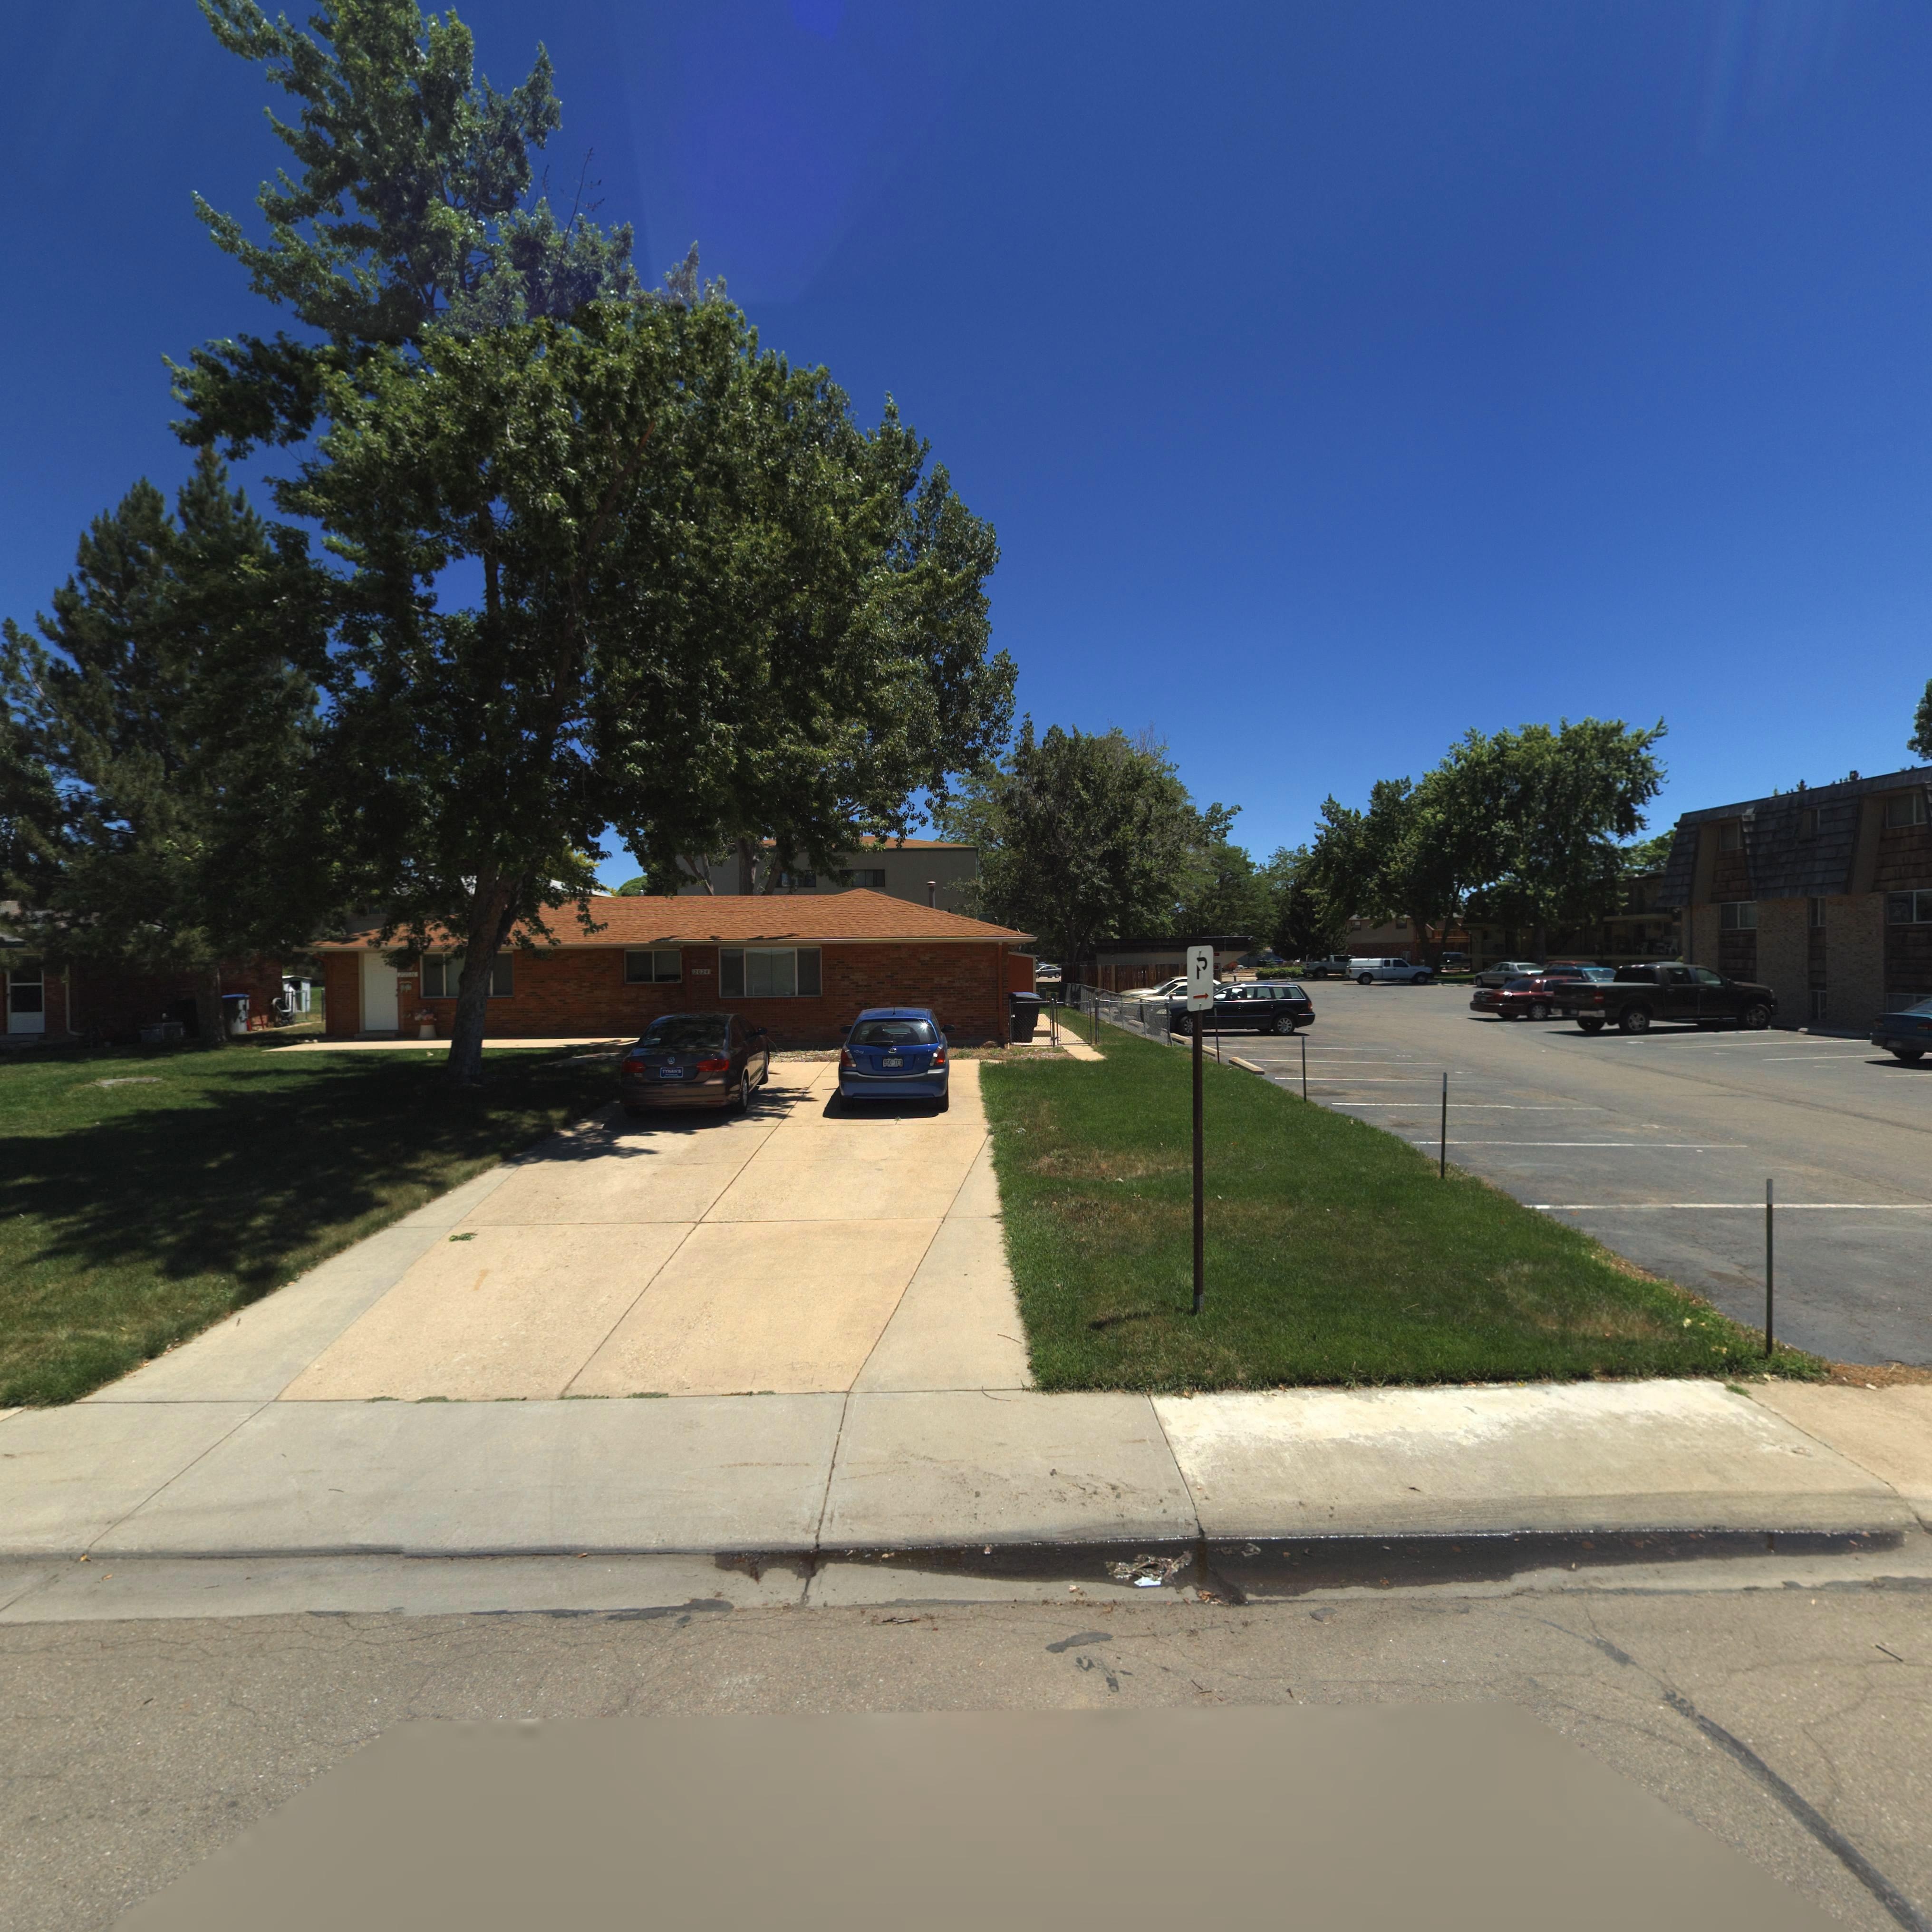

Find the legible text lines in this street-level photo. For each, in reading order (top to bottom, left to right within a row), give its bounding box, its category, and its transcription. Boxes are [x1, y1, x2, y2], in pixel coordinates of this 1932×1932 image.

[692, 969, 709, 974] StreetNumber: 2024